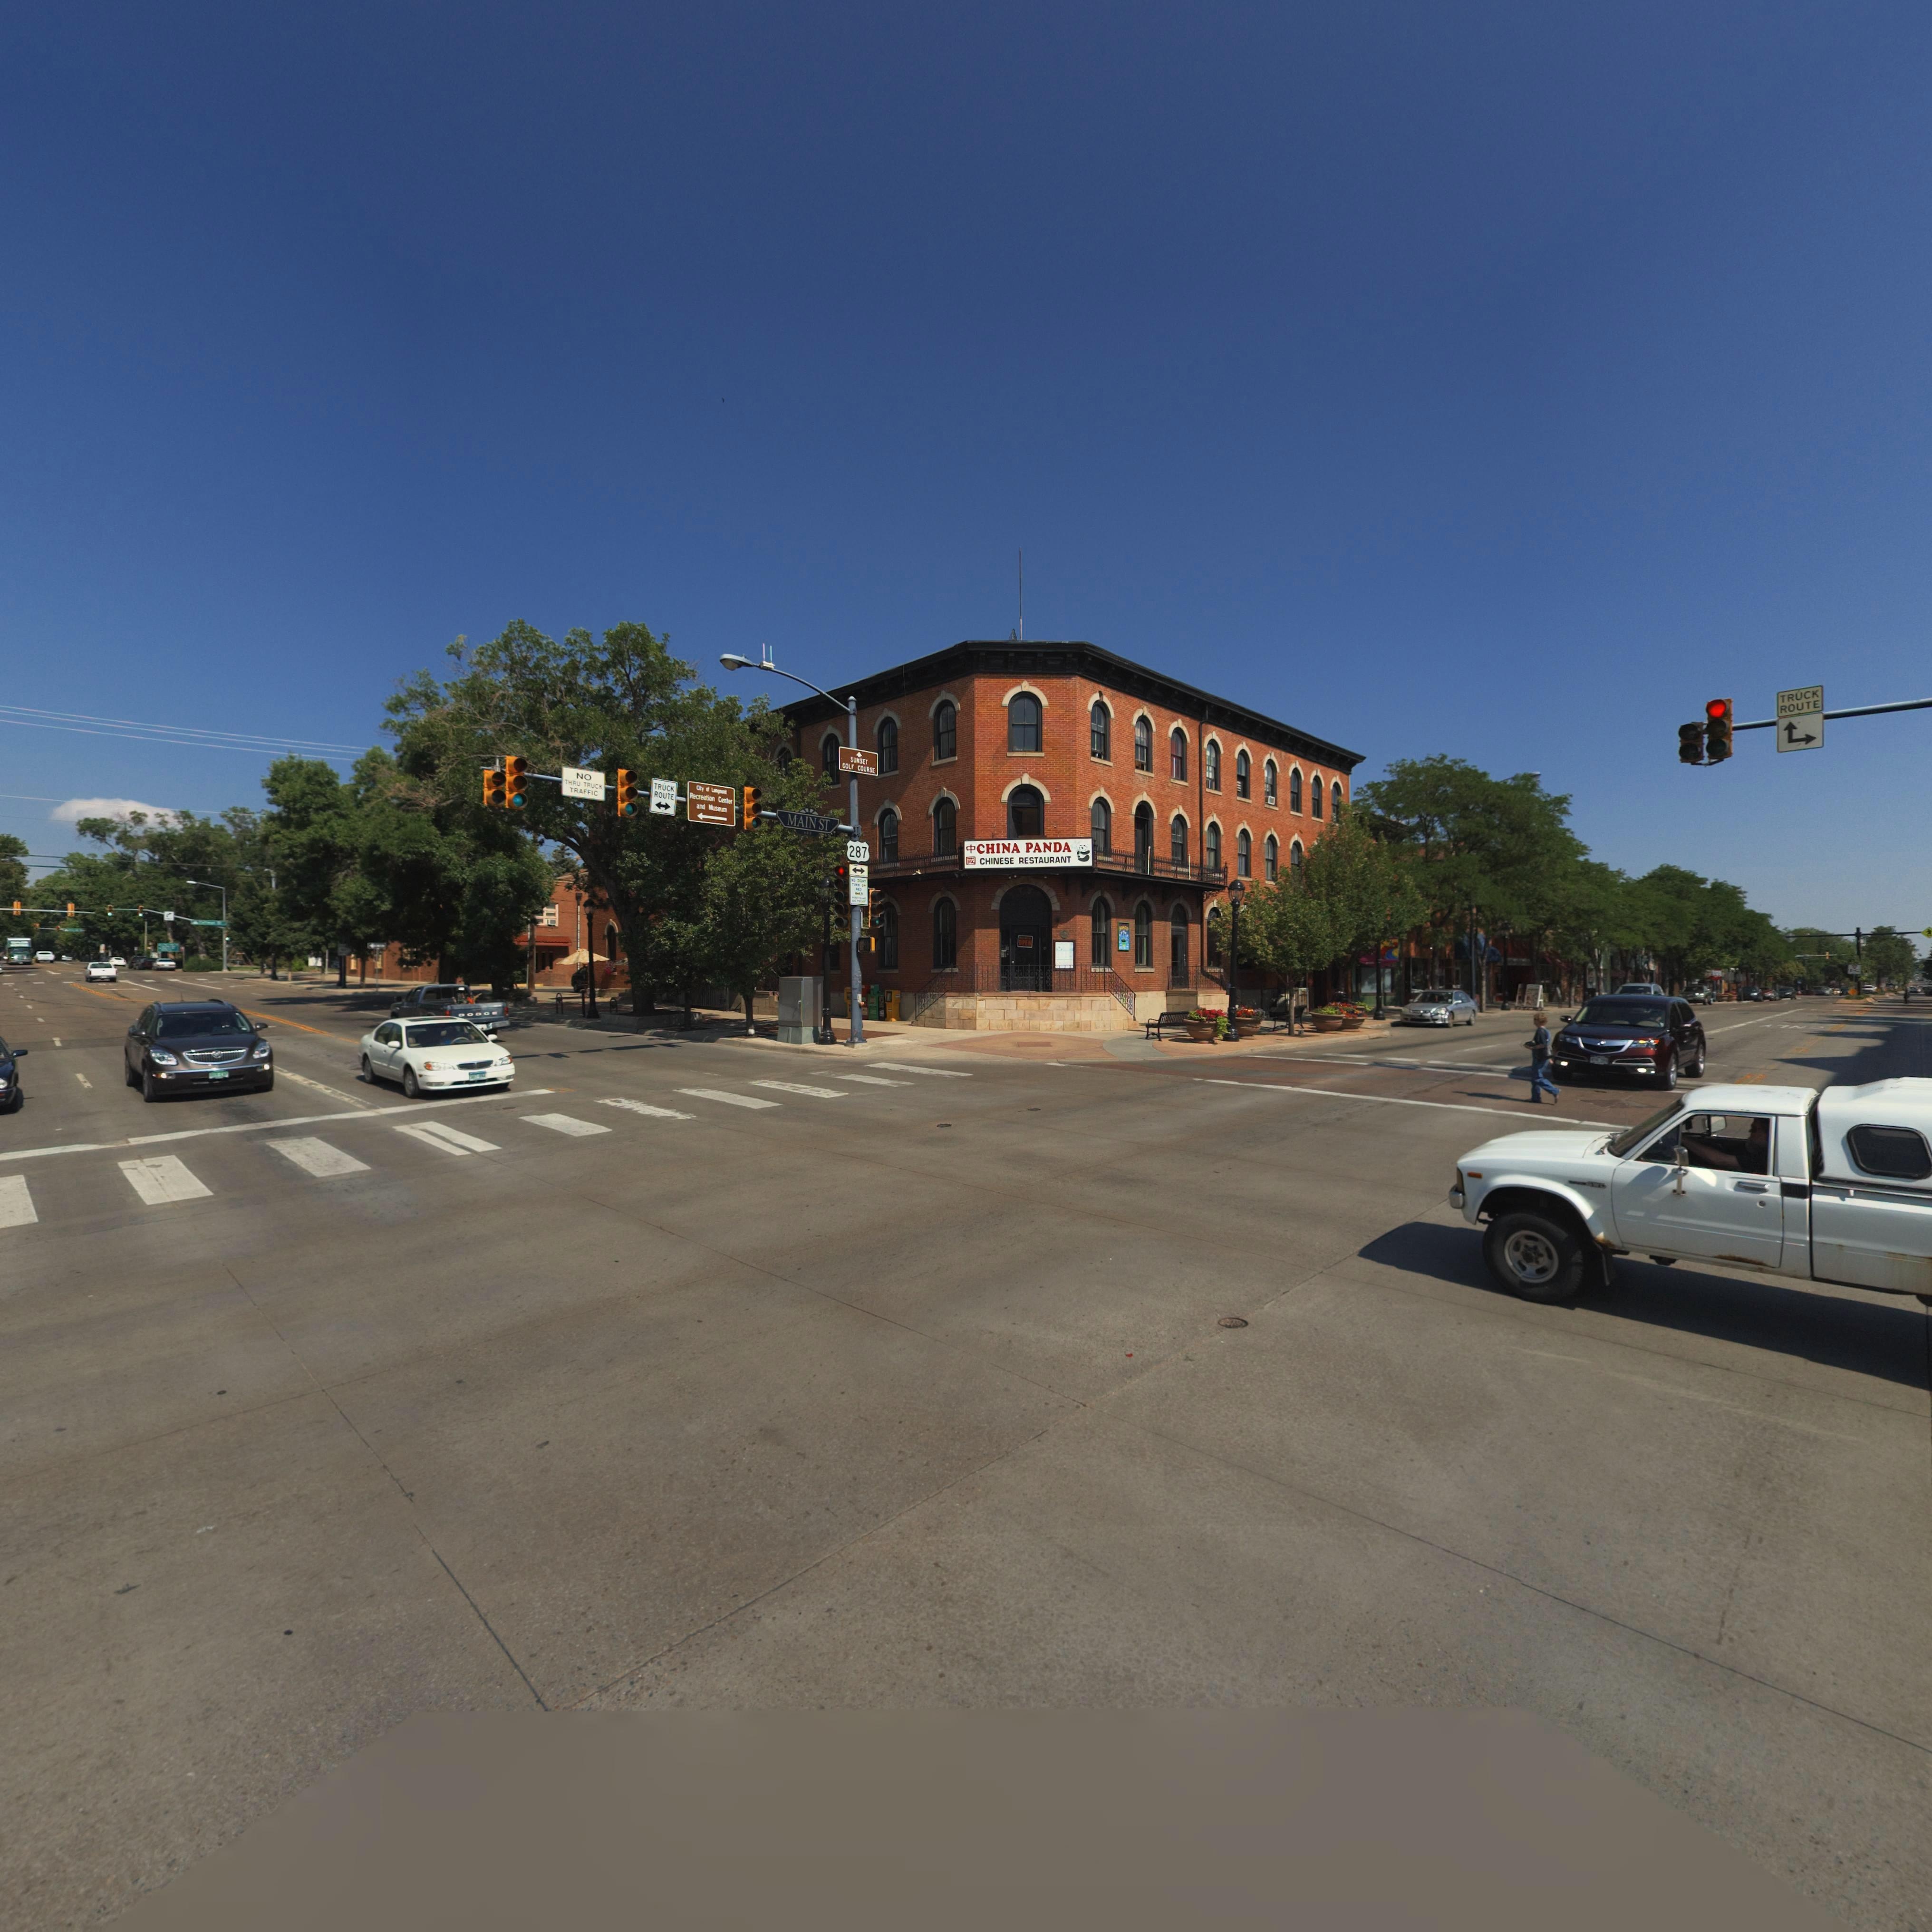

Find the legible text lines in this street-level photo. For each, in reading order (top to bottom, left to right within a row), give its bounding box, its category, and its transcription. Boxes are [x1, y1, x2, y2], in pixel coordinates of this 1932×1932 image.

[786, 812, 831, 831] StreetName: MAIN ST
[976, 841, 1073, 855] BusinessName: CHINA PANDA
[979, 855, 1072, 865] BusinessName: CHINESE RESTAURANT